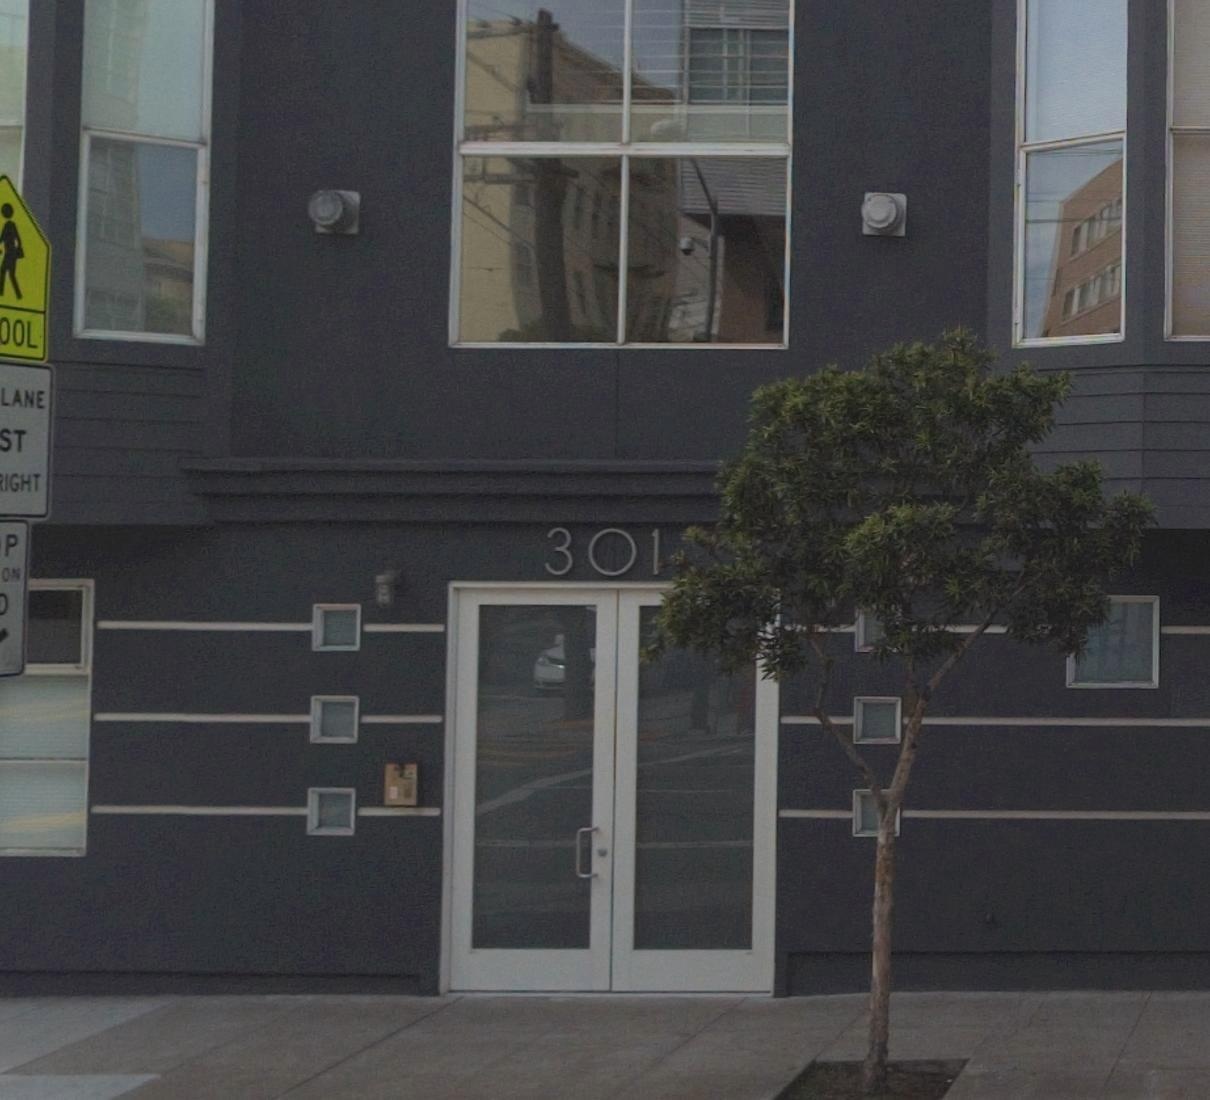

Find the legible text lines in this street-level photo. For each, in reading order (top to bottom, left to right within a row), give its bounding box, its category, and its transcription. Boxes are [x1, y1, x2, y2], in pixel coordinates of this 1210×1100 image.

[541, 526, 662, 578] StreetNumber: 301